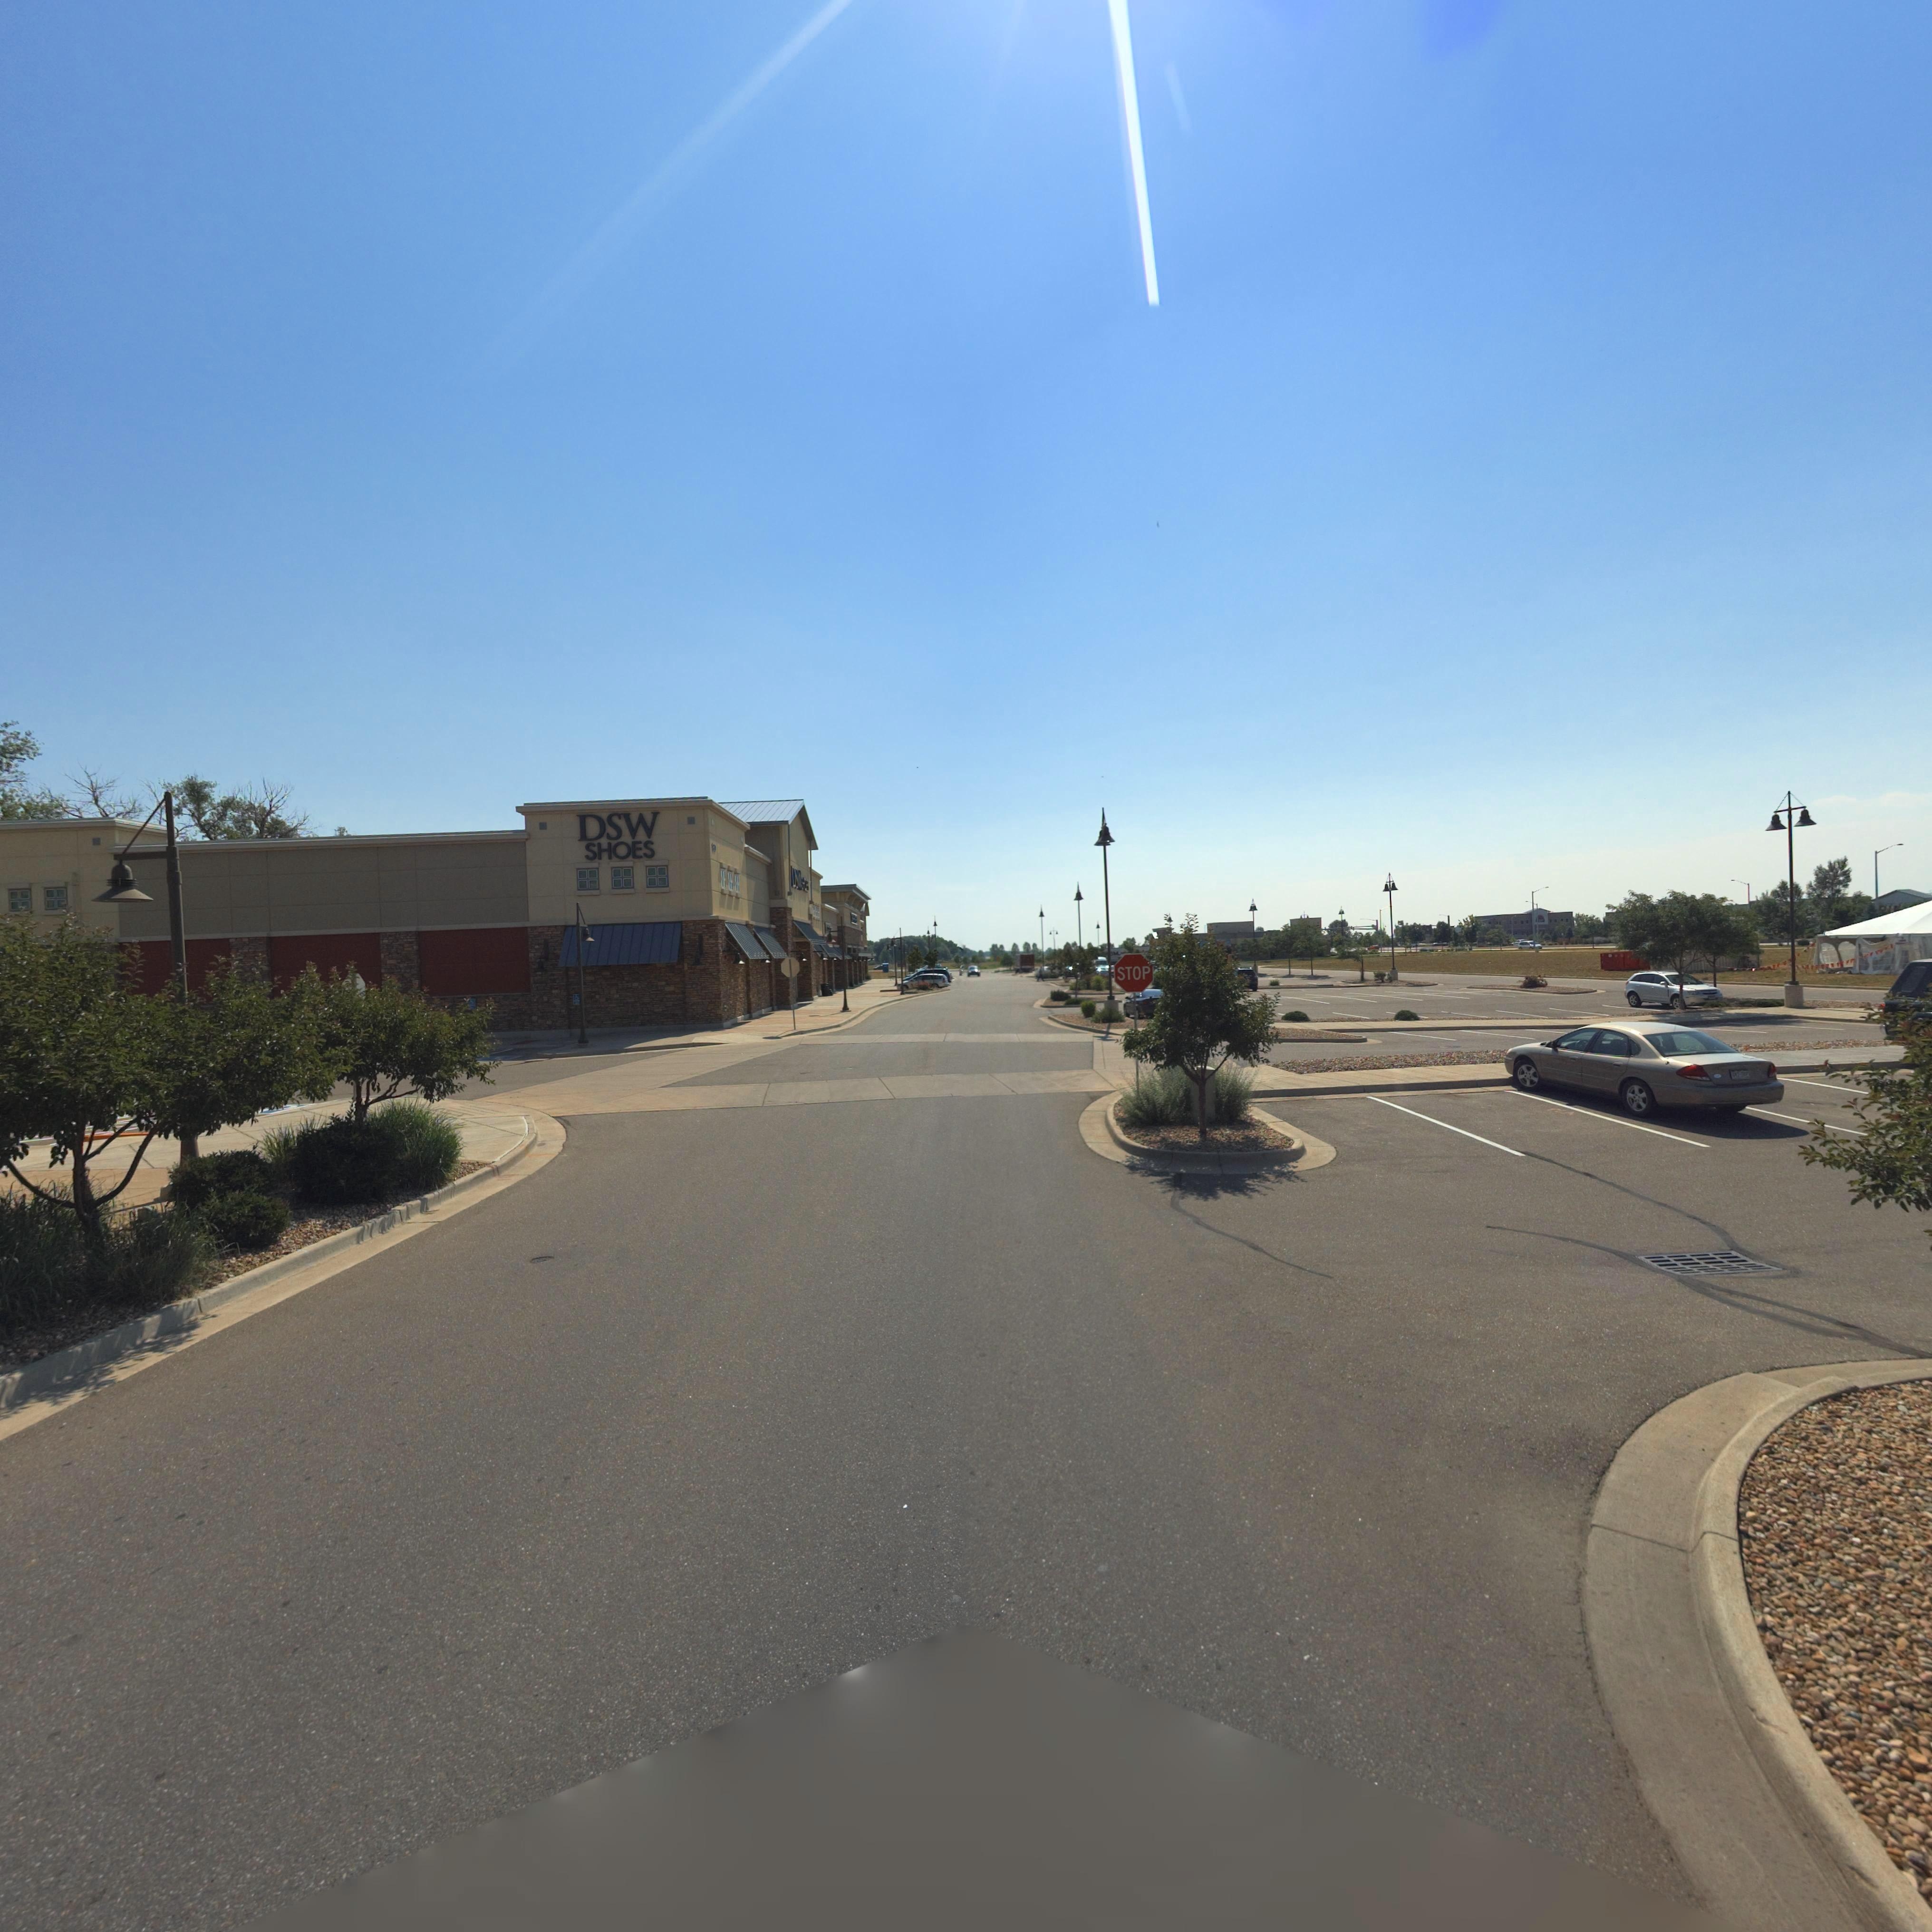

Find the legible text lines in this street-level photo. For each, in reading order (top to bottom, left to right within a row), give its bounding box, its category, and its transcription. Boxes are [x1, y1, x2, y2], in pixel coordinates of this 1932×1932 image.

[576, 811, 660, 841] BusinessName: DSW
[585, 840, 655, 860] BusinessName: SHOES
[791, 865, 809, 892] BusinessName: DSW SHOES